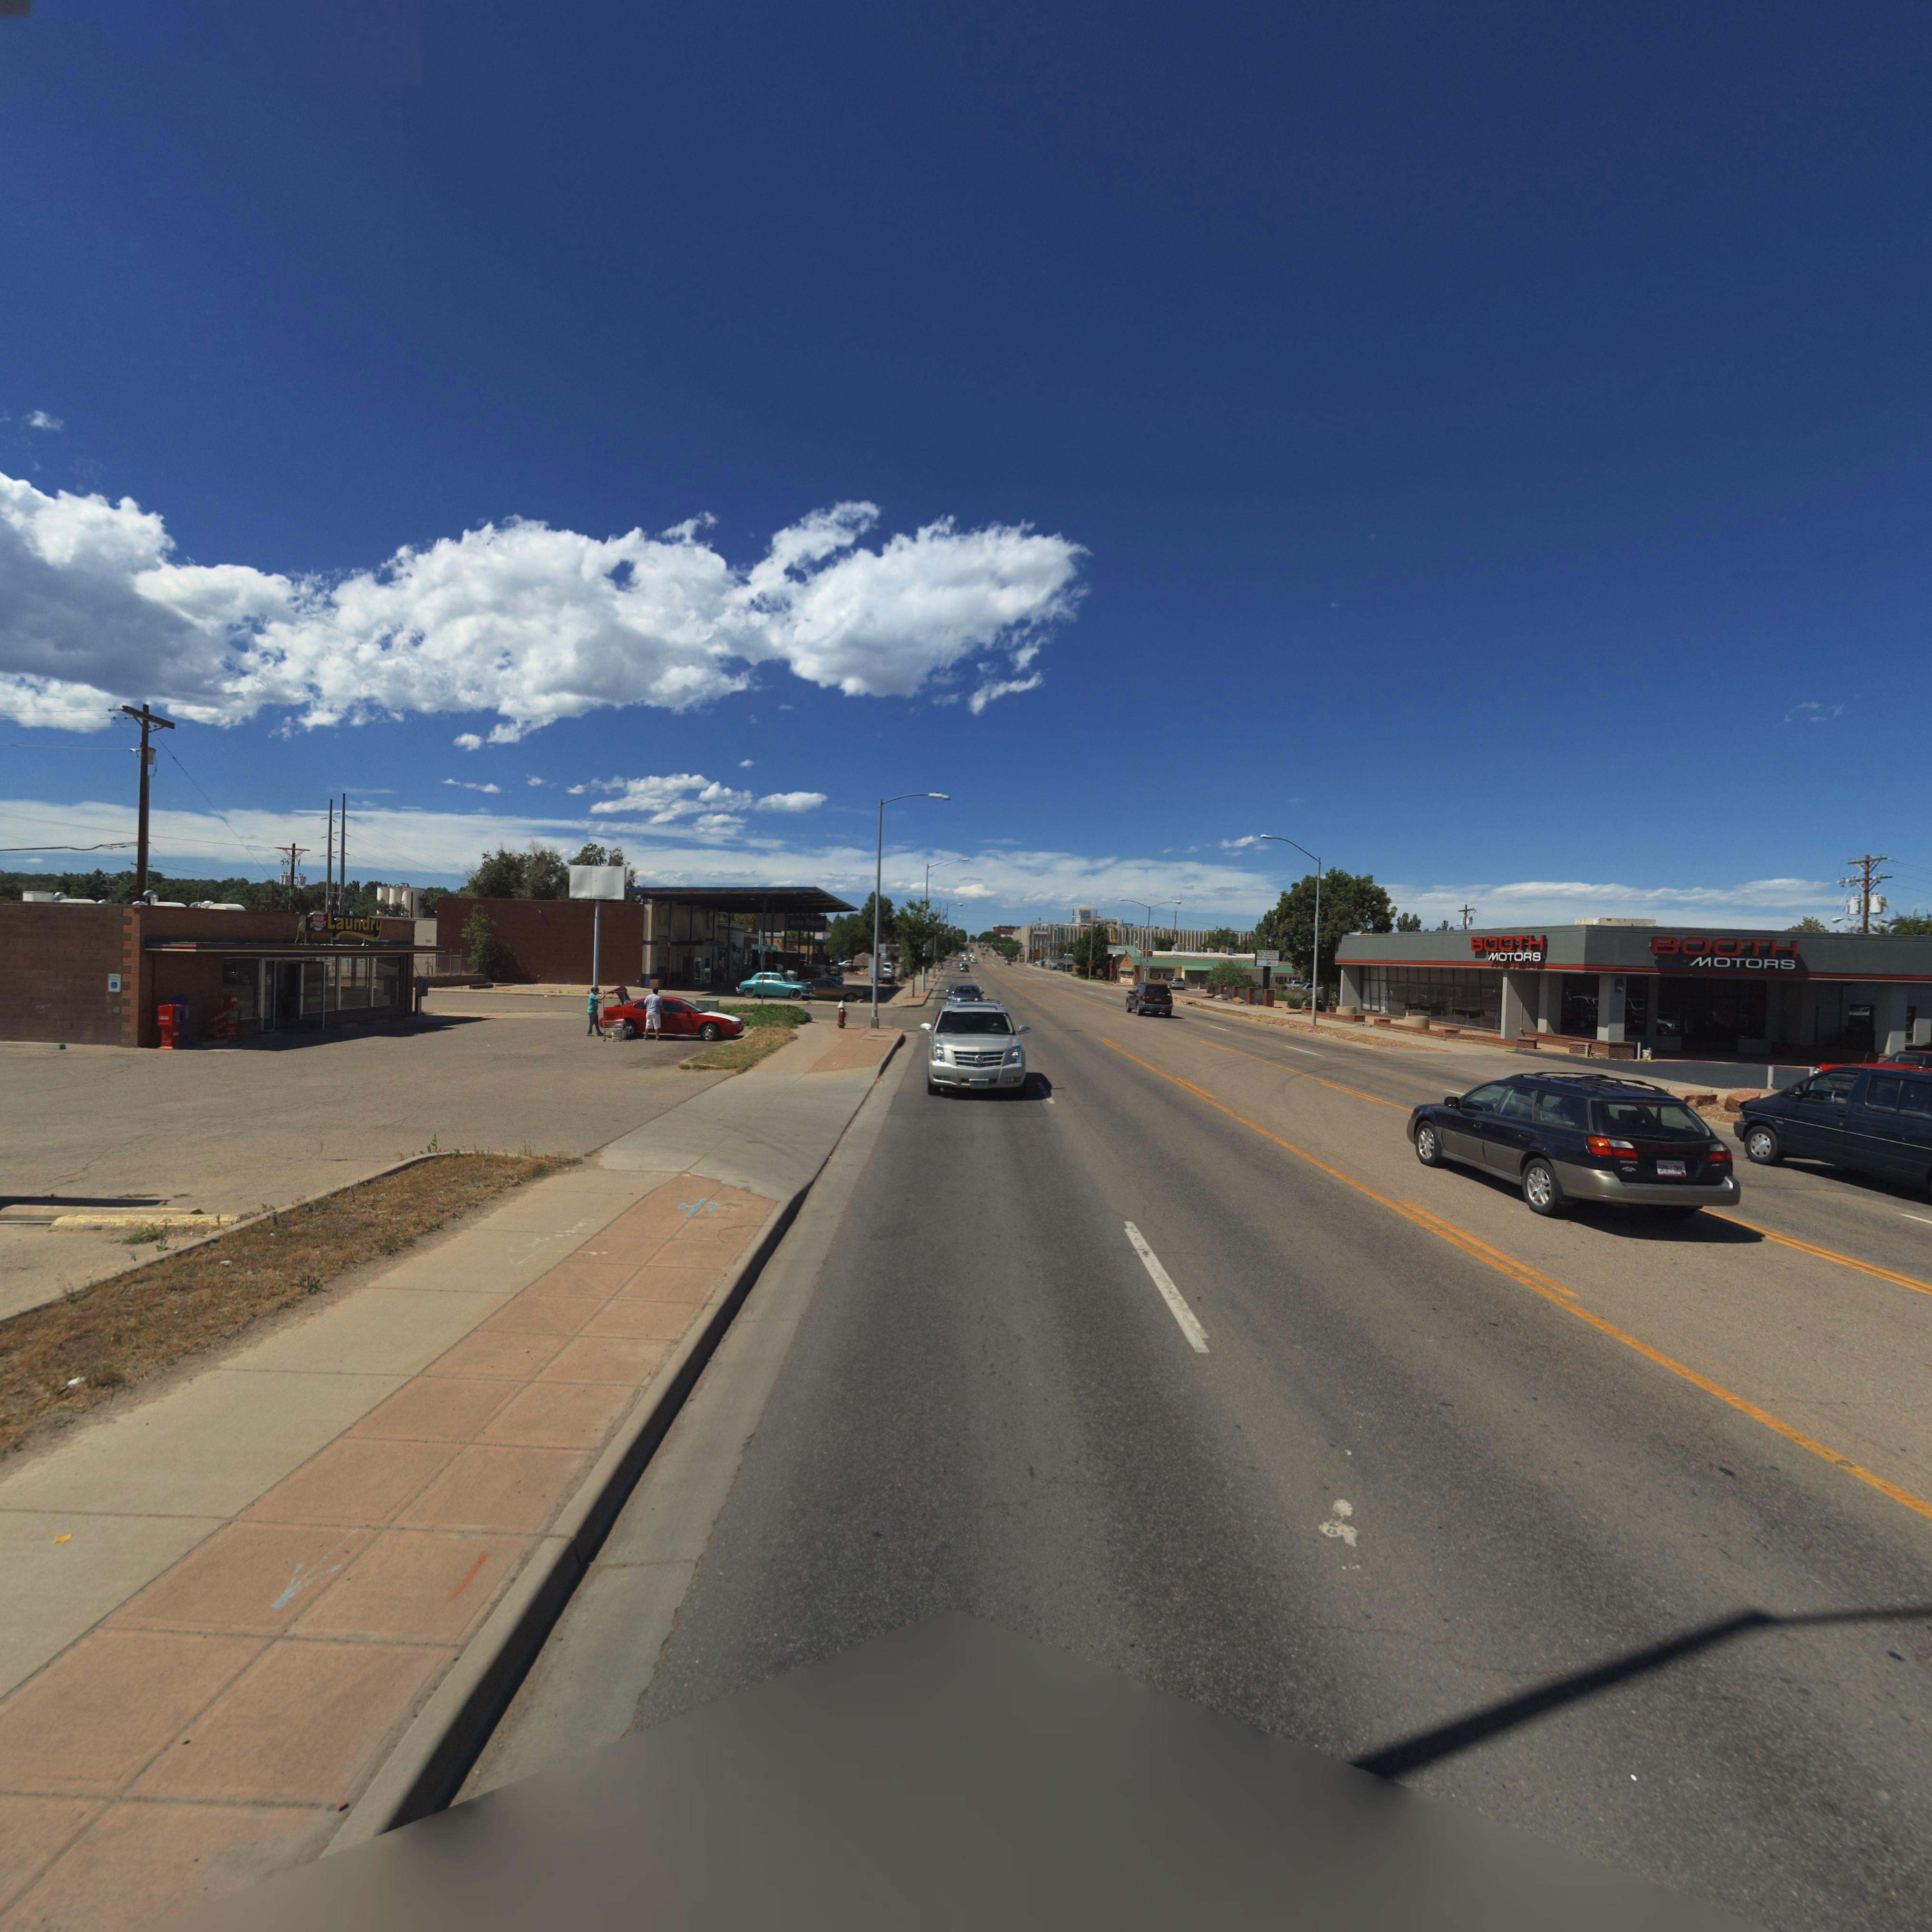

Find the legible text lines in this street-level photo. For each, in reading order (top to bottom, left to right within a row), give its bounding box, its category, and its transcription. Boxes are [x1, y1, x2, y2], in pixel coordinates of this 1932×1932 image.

[309, 920, 326, 928] BusinessName: STREET
[312, 915, 324, 921] BusinessName: MAIN
[327, 913, 382, 938] BusinessName: Laundry
[752, 944, 776, 951] StreetName: BOSTON AV
[1470, 934, 1544, 951] BusinessName: BOOTH
[1651, 936, 1799, 958] BusinessName: BOOTH
[1487, 951, 1541, 962] BusinessName: MOTORS
[1687, 956, 1796, 970] BusinessName: MOTORS